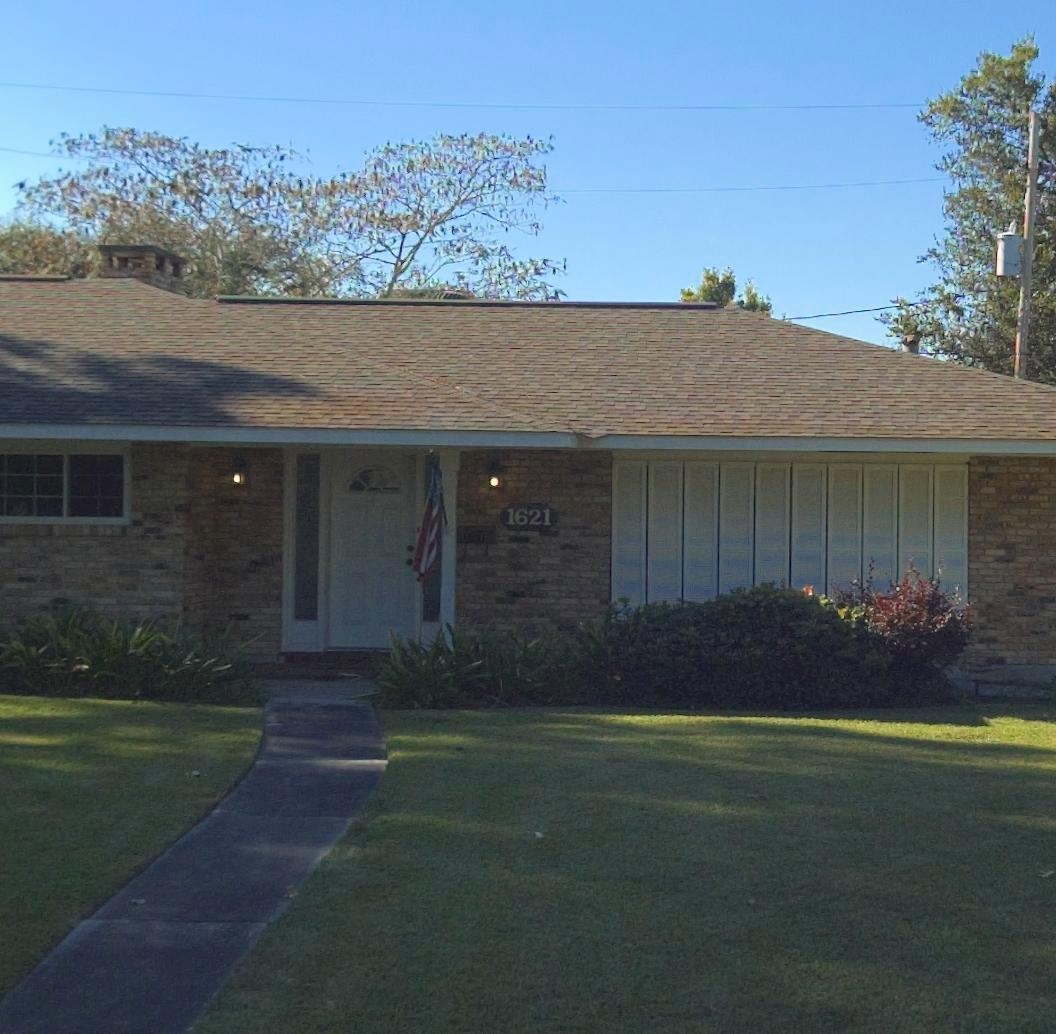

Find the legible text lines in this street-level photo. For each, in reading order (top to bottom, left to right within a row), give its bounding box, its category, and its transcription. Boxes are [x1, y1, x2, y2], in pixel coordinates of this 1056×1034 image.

[504, 506, 554, 528] StreetNumber: 1621